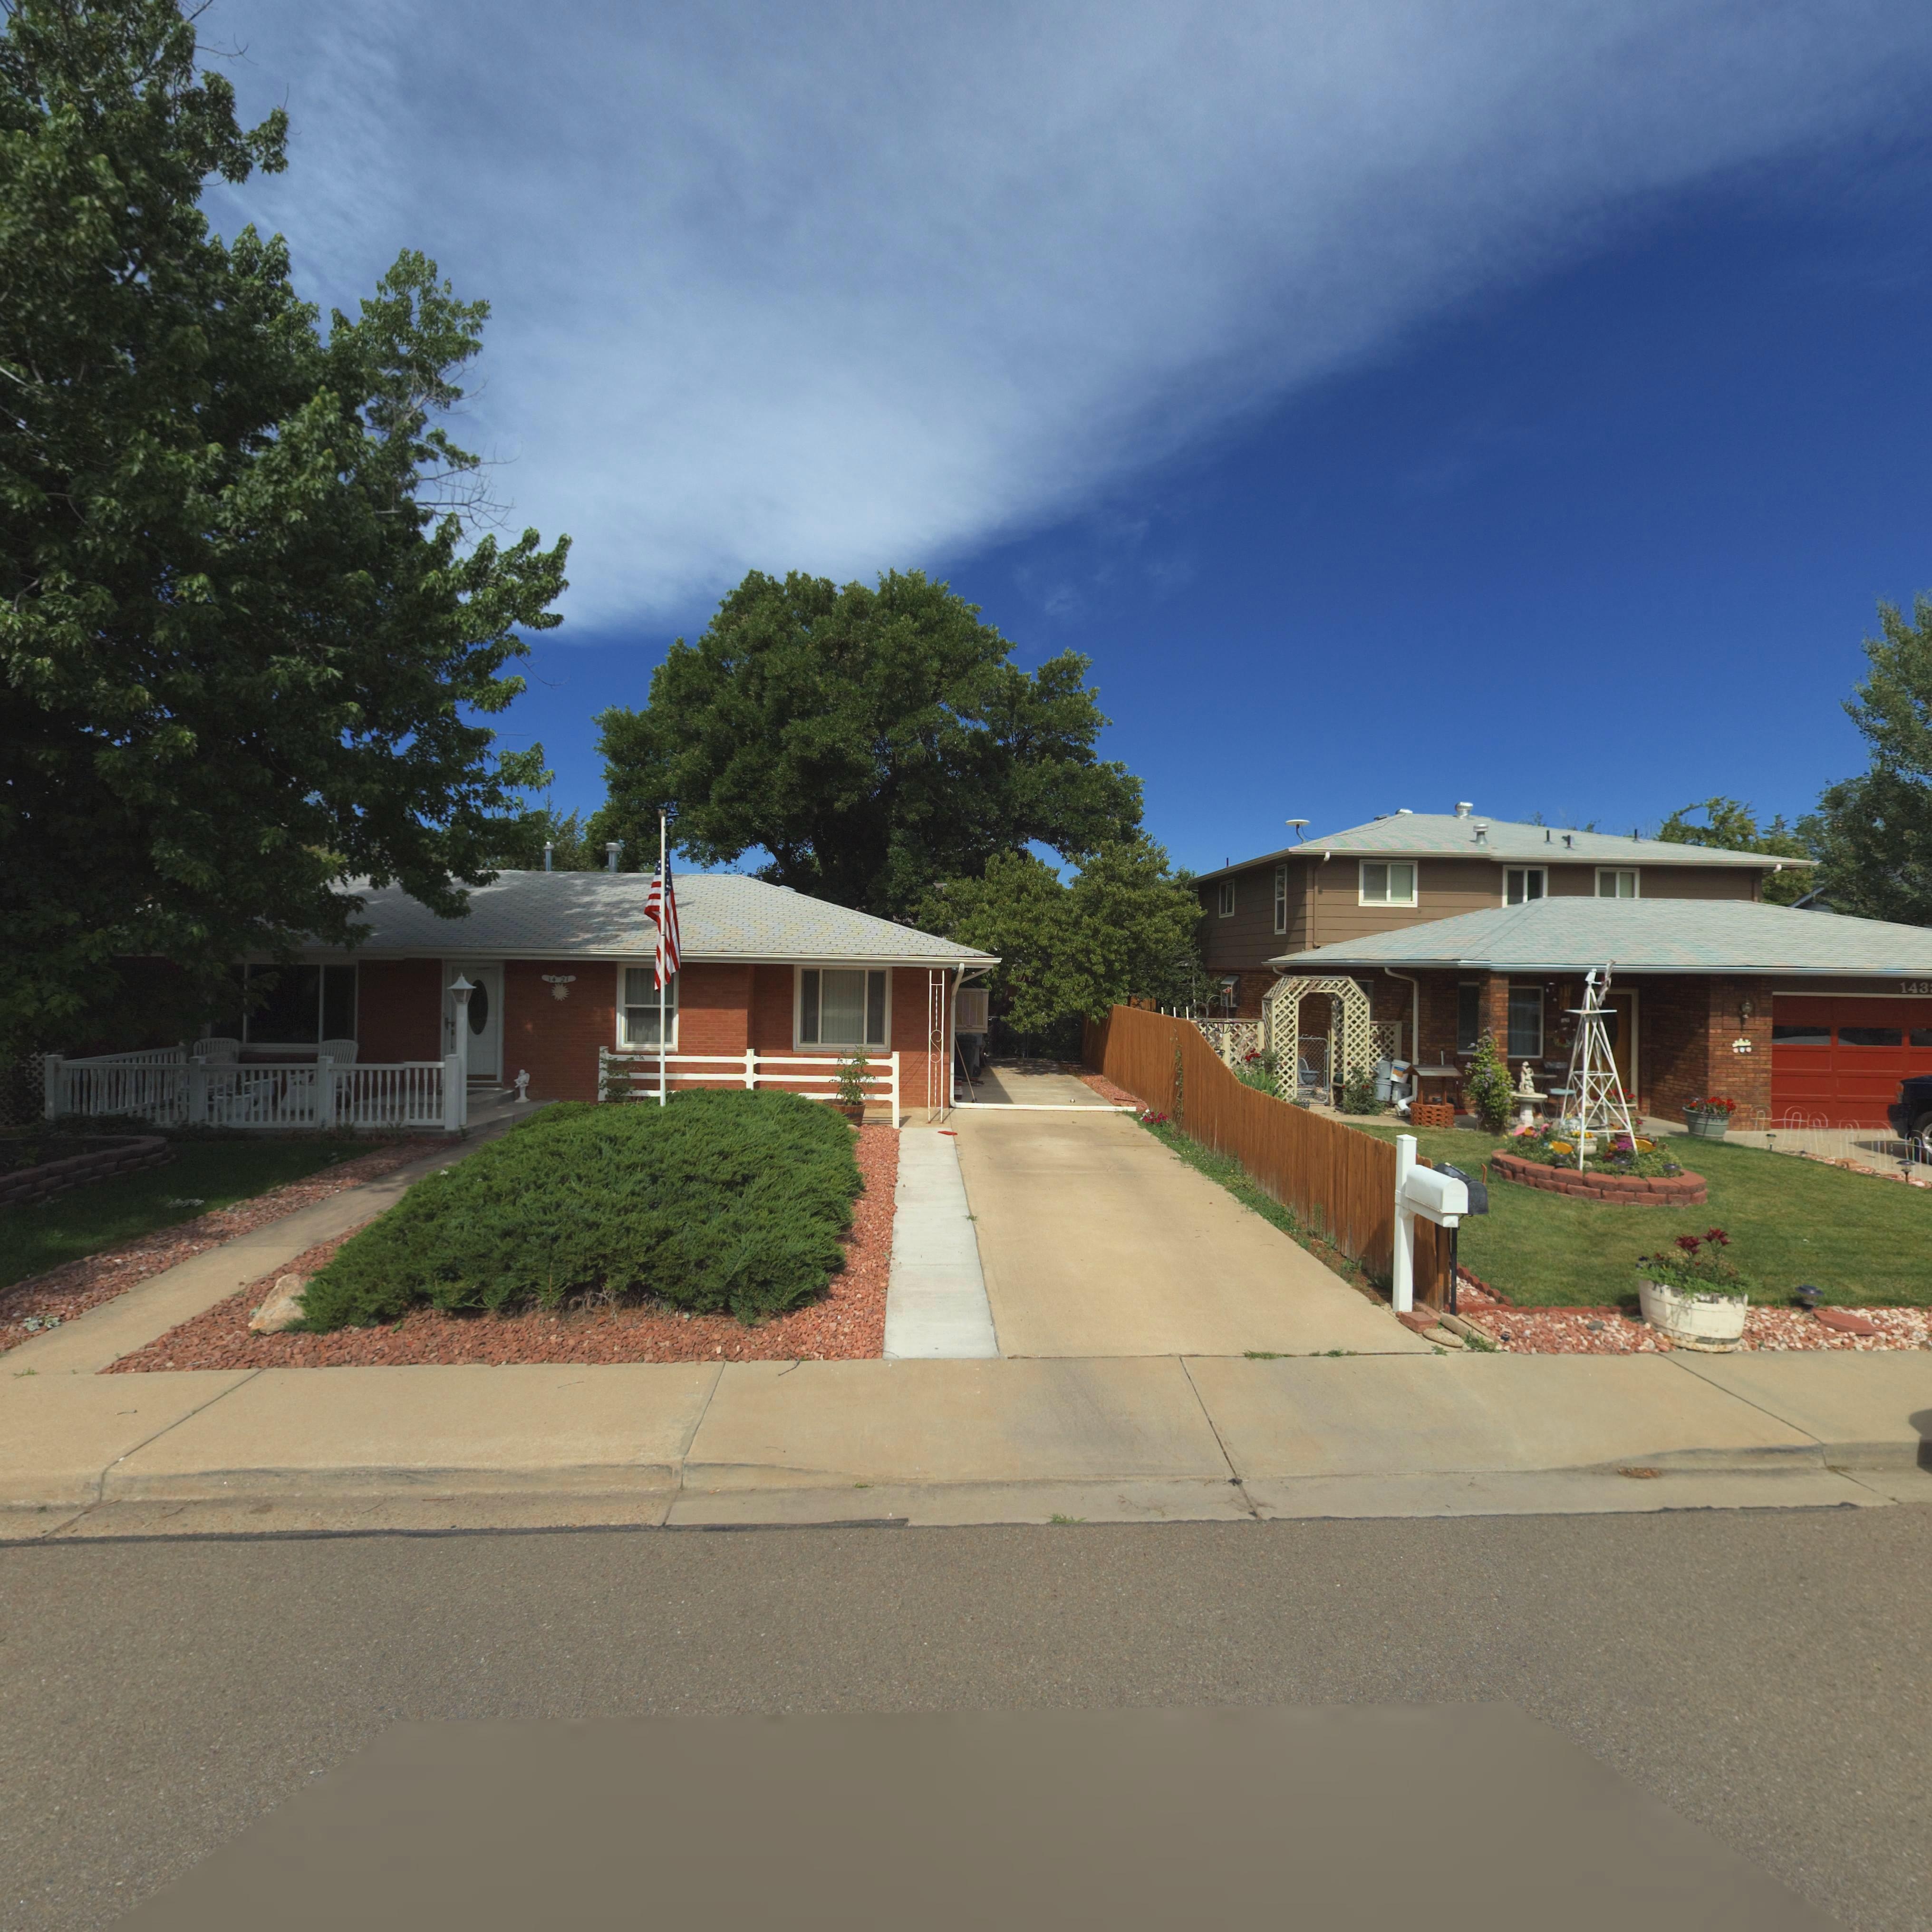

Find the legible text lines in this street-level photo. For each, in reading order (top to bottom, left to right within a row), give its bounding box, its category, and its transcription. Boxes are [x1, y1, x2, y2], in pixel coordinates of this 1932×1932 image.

[548, 976, 569, 982] StreetNumber: 1421
[1899, 980, 1930, 994] StreetNumber: 143